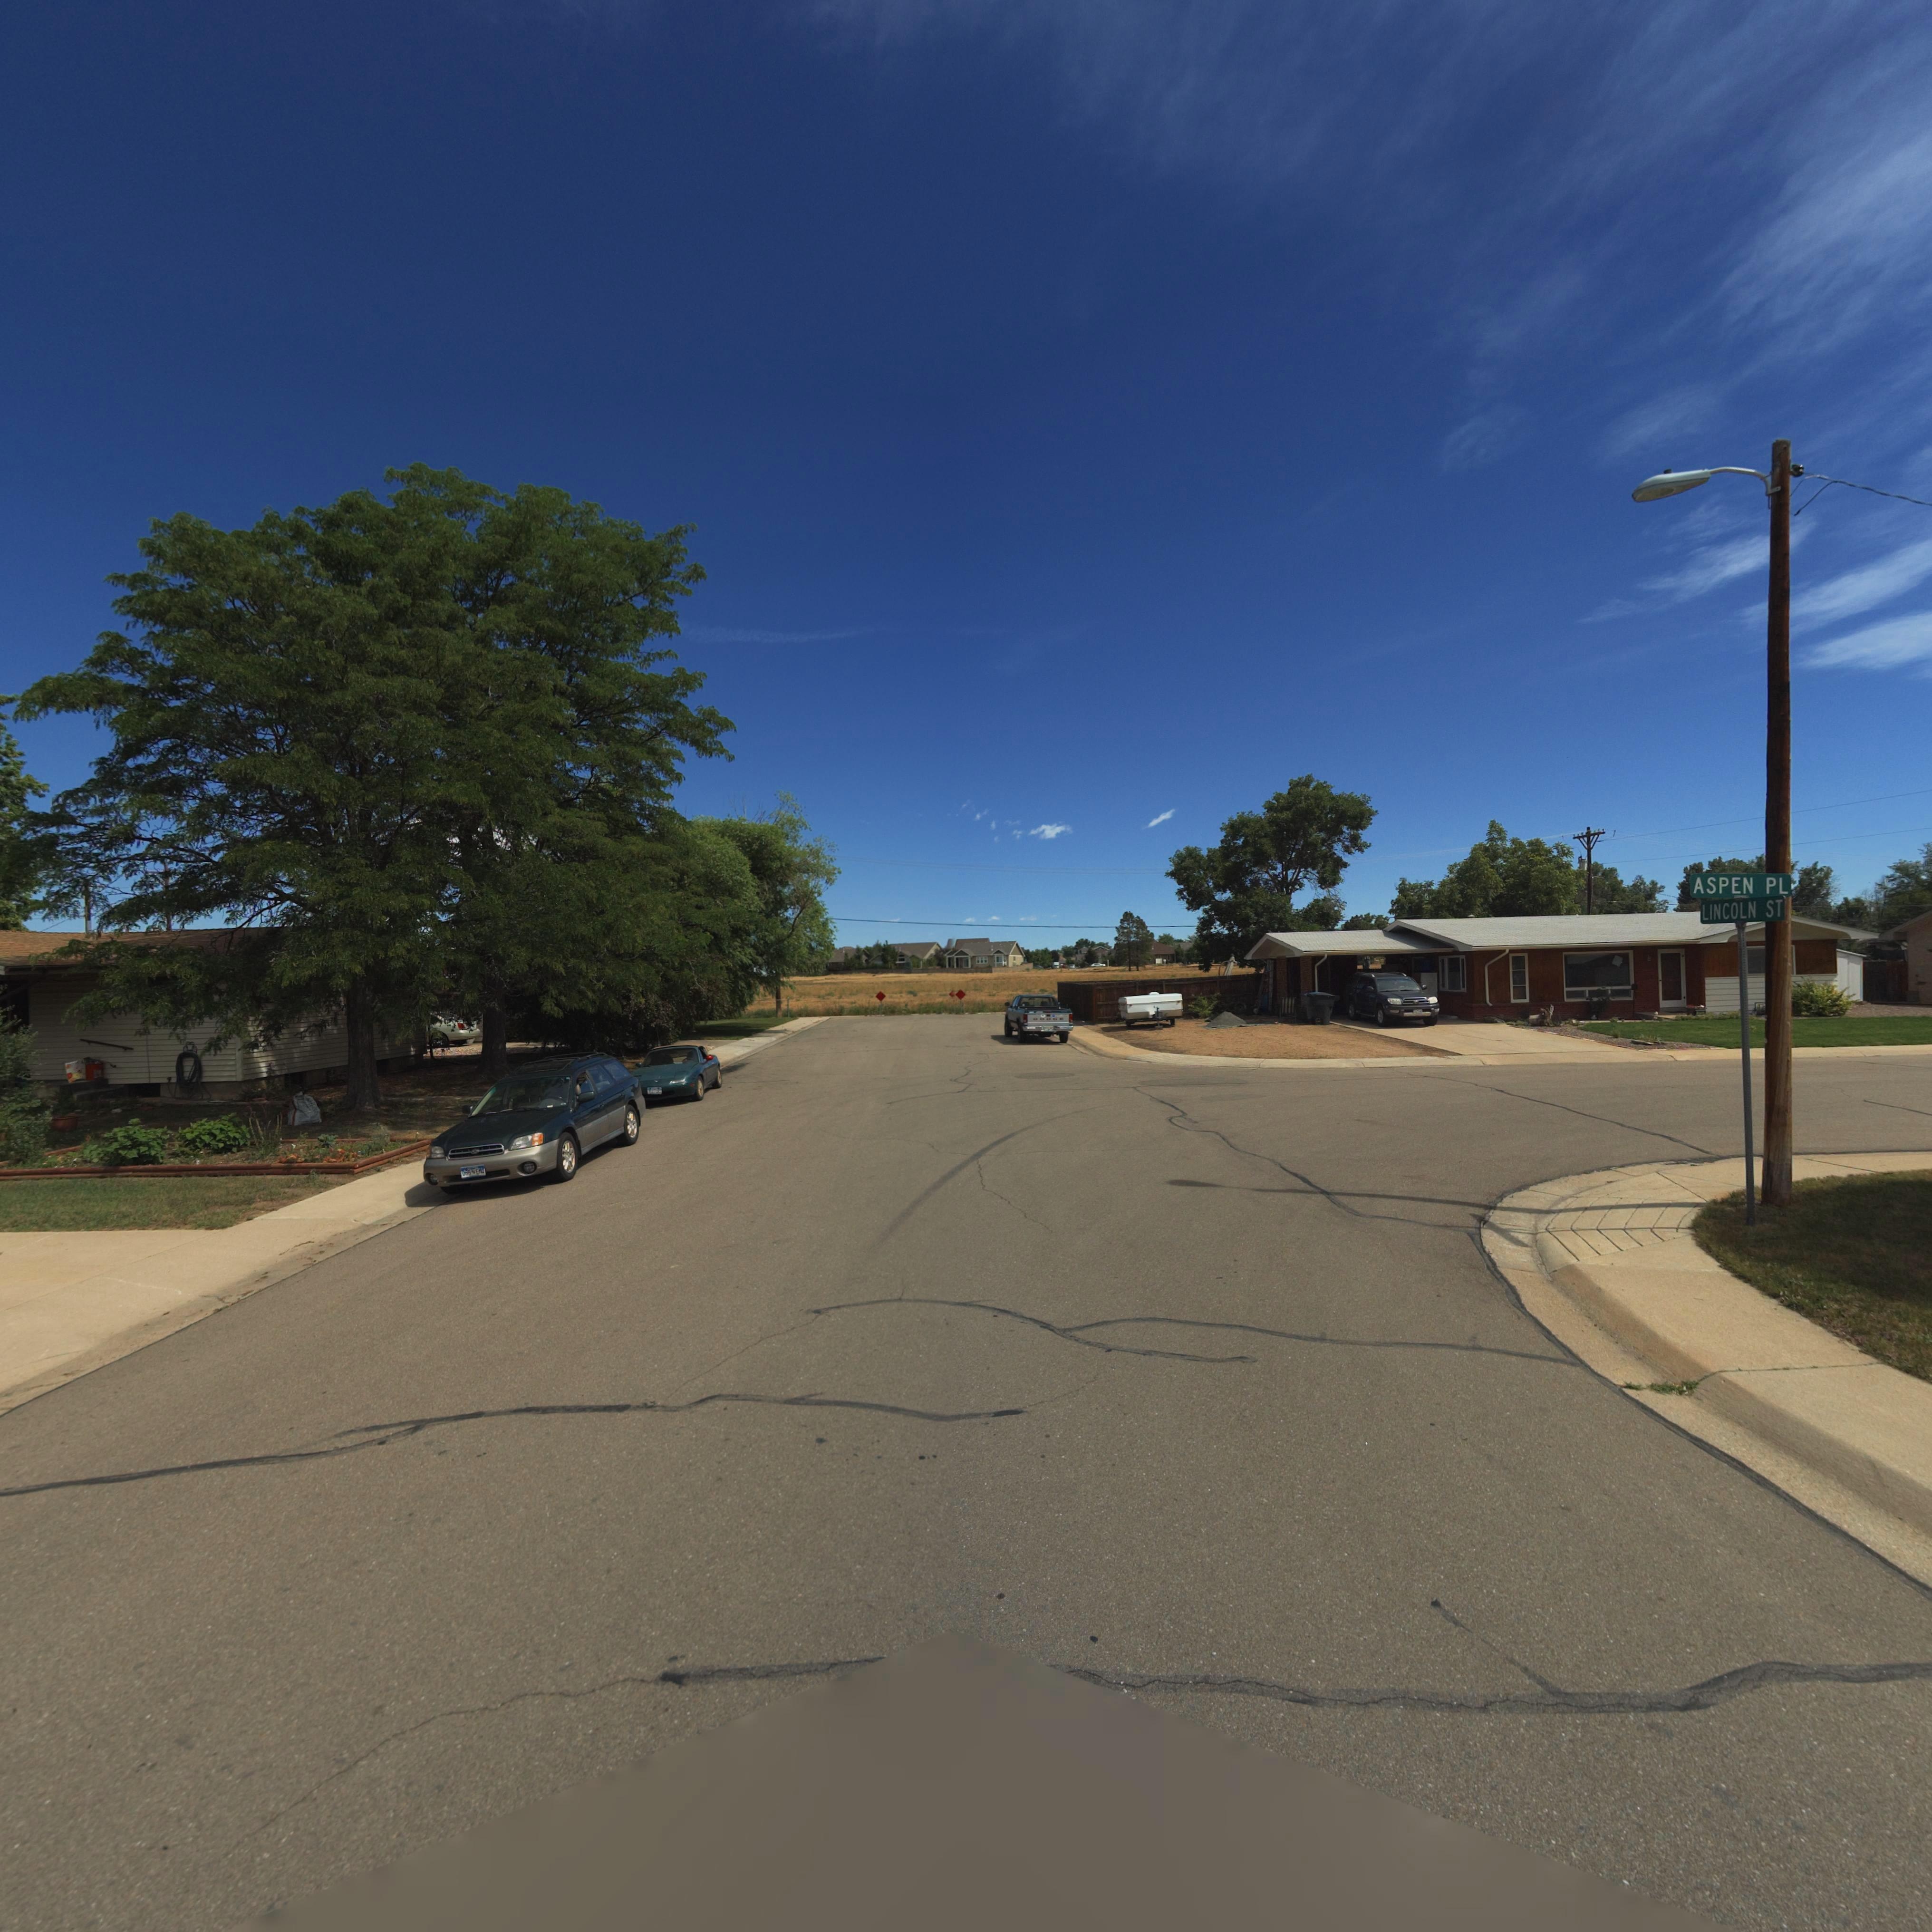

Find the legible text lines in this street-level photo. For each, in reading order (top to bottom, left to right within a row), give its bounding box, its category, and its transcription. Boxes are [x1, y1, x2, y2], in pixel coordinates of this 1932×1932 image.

[1693, 876, 1788, 894] StreetName: ASPEN PL
[1702, 898, 1784, 920] StreetName: LINCOLN ST